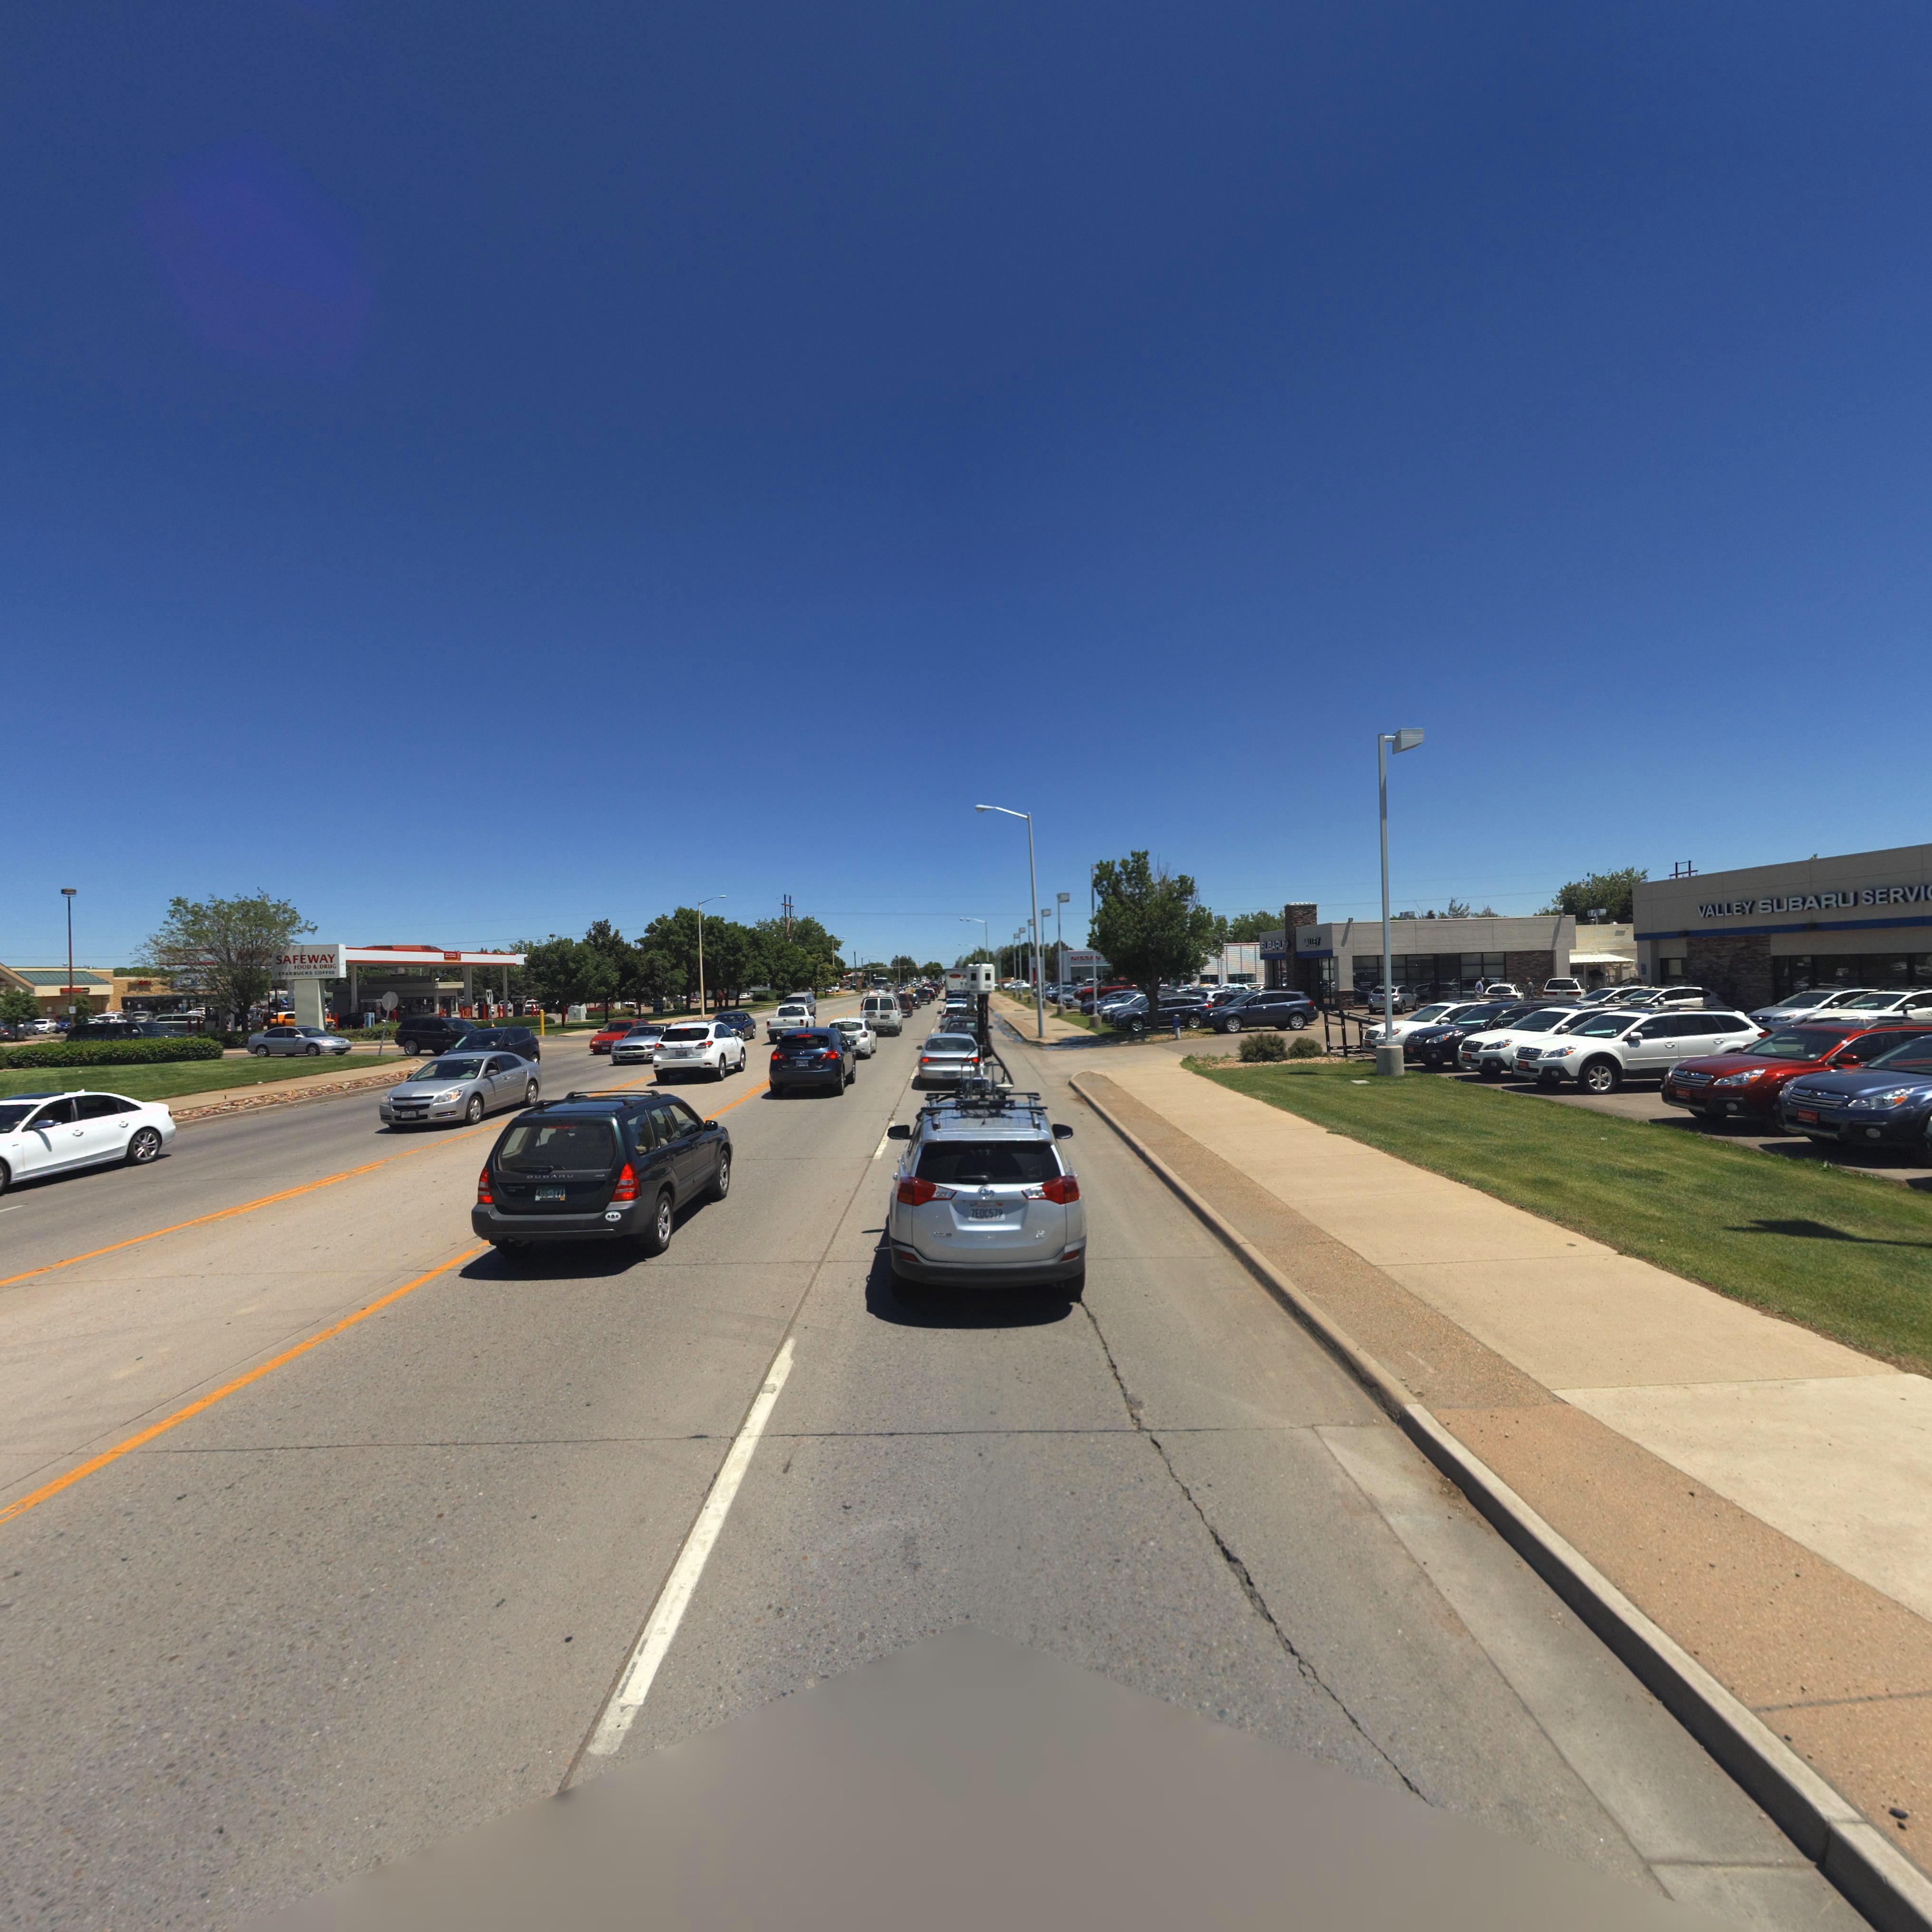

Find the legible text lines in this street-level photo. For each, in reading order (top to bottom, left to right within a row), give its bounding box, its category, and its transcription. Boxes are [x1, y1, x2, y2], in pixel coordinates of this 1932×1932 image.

[1696, 884, 1926, 918] BusinessName: VALLEY SUBARU SERVI
[1261, 939, 1284, 951] BusinessName: SUBARU
[1304, 937, 1319, 947] BusinessName: VALLEY
[275, 954, 336, 965] StreetNumber: SAFEWAY
[1071, 955, 1101, 960] BusinessName: NISS*N
[294, 964, 337, 969] BusinessName: *OOD & DRUG
[277, 970, 335, 976] BusinessName: STAR*UCK* CO****